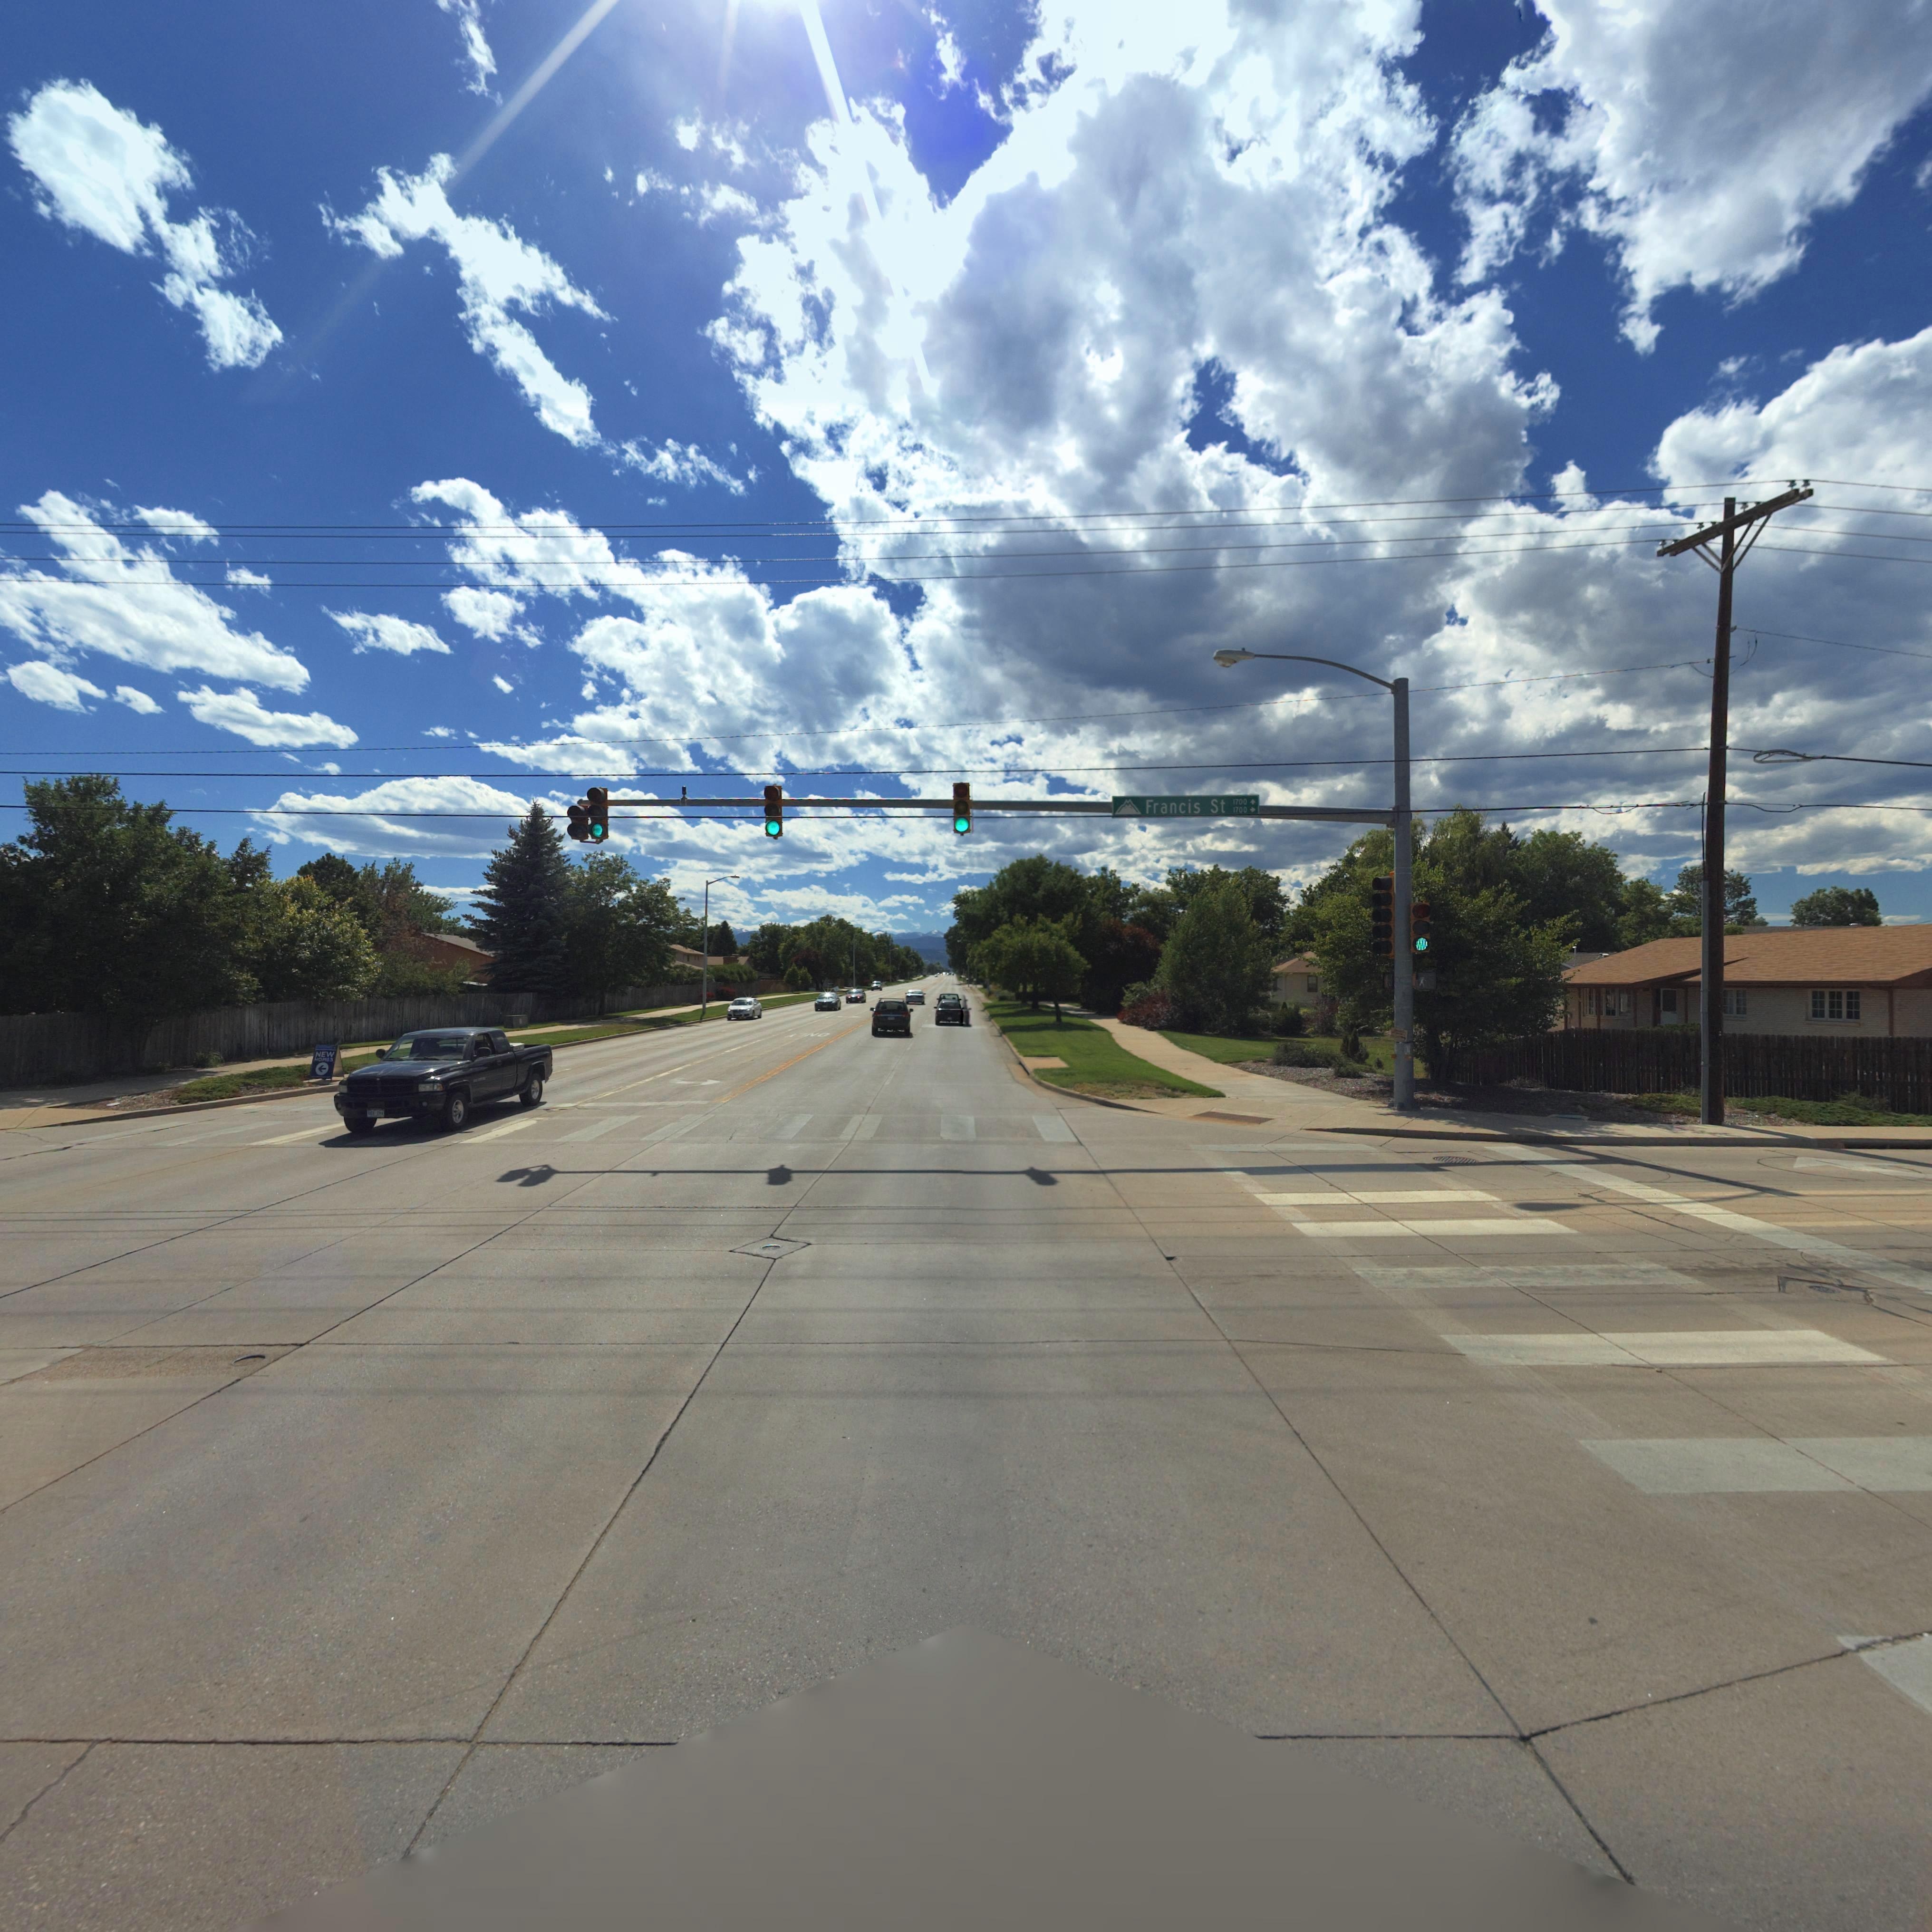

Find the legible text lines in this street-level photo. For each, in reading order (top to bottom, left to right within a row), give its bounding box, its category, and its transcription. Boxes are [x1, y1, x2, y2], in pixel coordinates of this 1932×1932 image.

[1232, 798, 1247, 805] StreetNumberRange: 1700
[1146, 798, 1226, 815] StreetName: Francis St
[1233, 806, 1256, 813] StreetNumberRange: 1700->